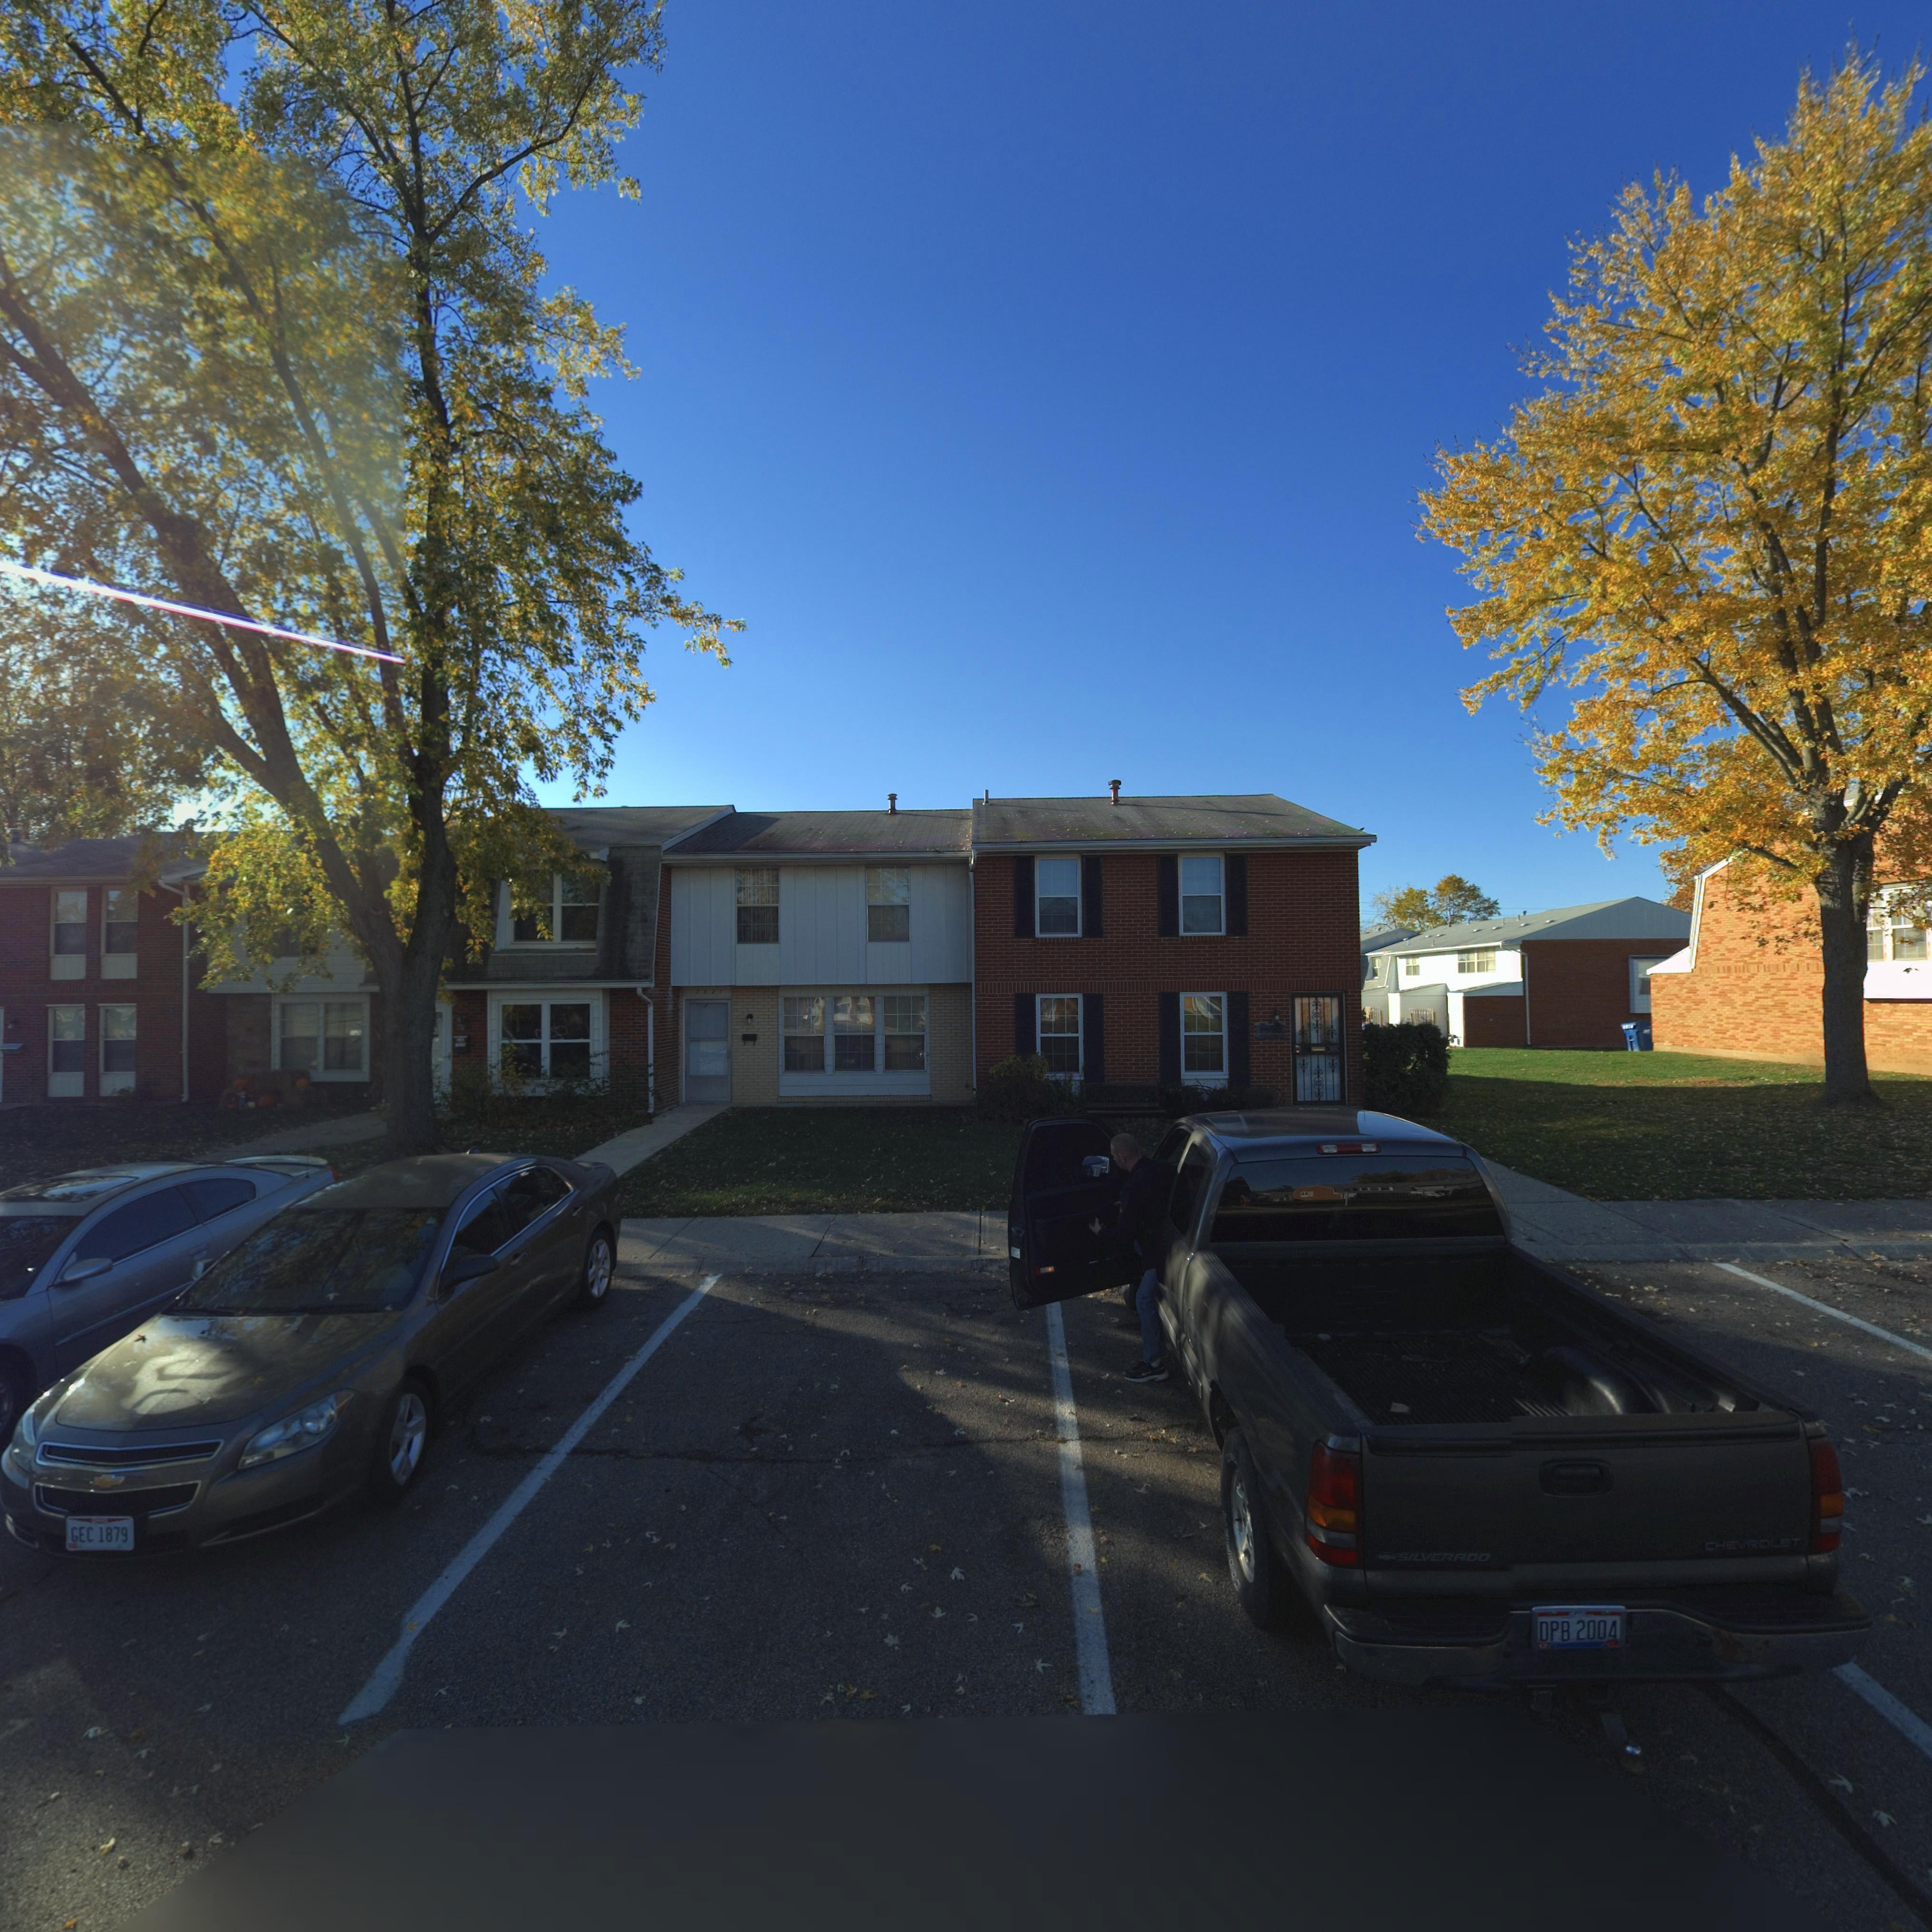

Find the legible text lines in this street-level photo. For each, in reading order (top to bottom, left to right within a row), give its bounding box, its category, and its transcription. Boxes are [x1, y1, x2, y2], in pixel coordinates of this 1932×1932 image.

[695, 989, 724, 994] StreetNumber: 7525
[1258, 1026, 1271, 1034] StreetNumber: 75